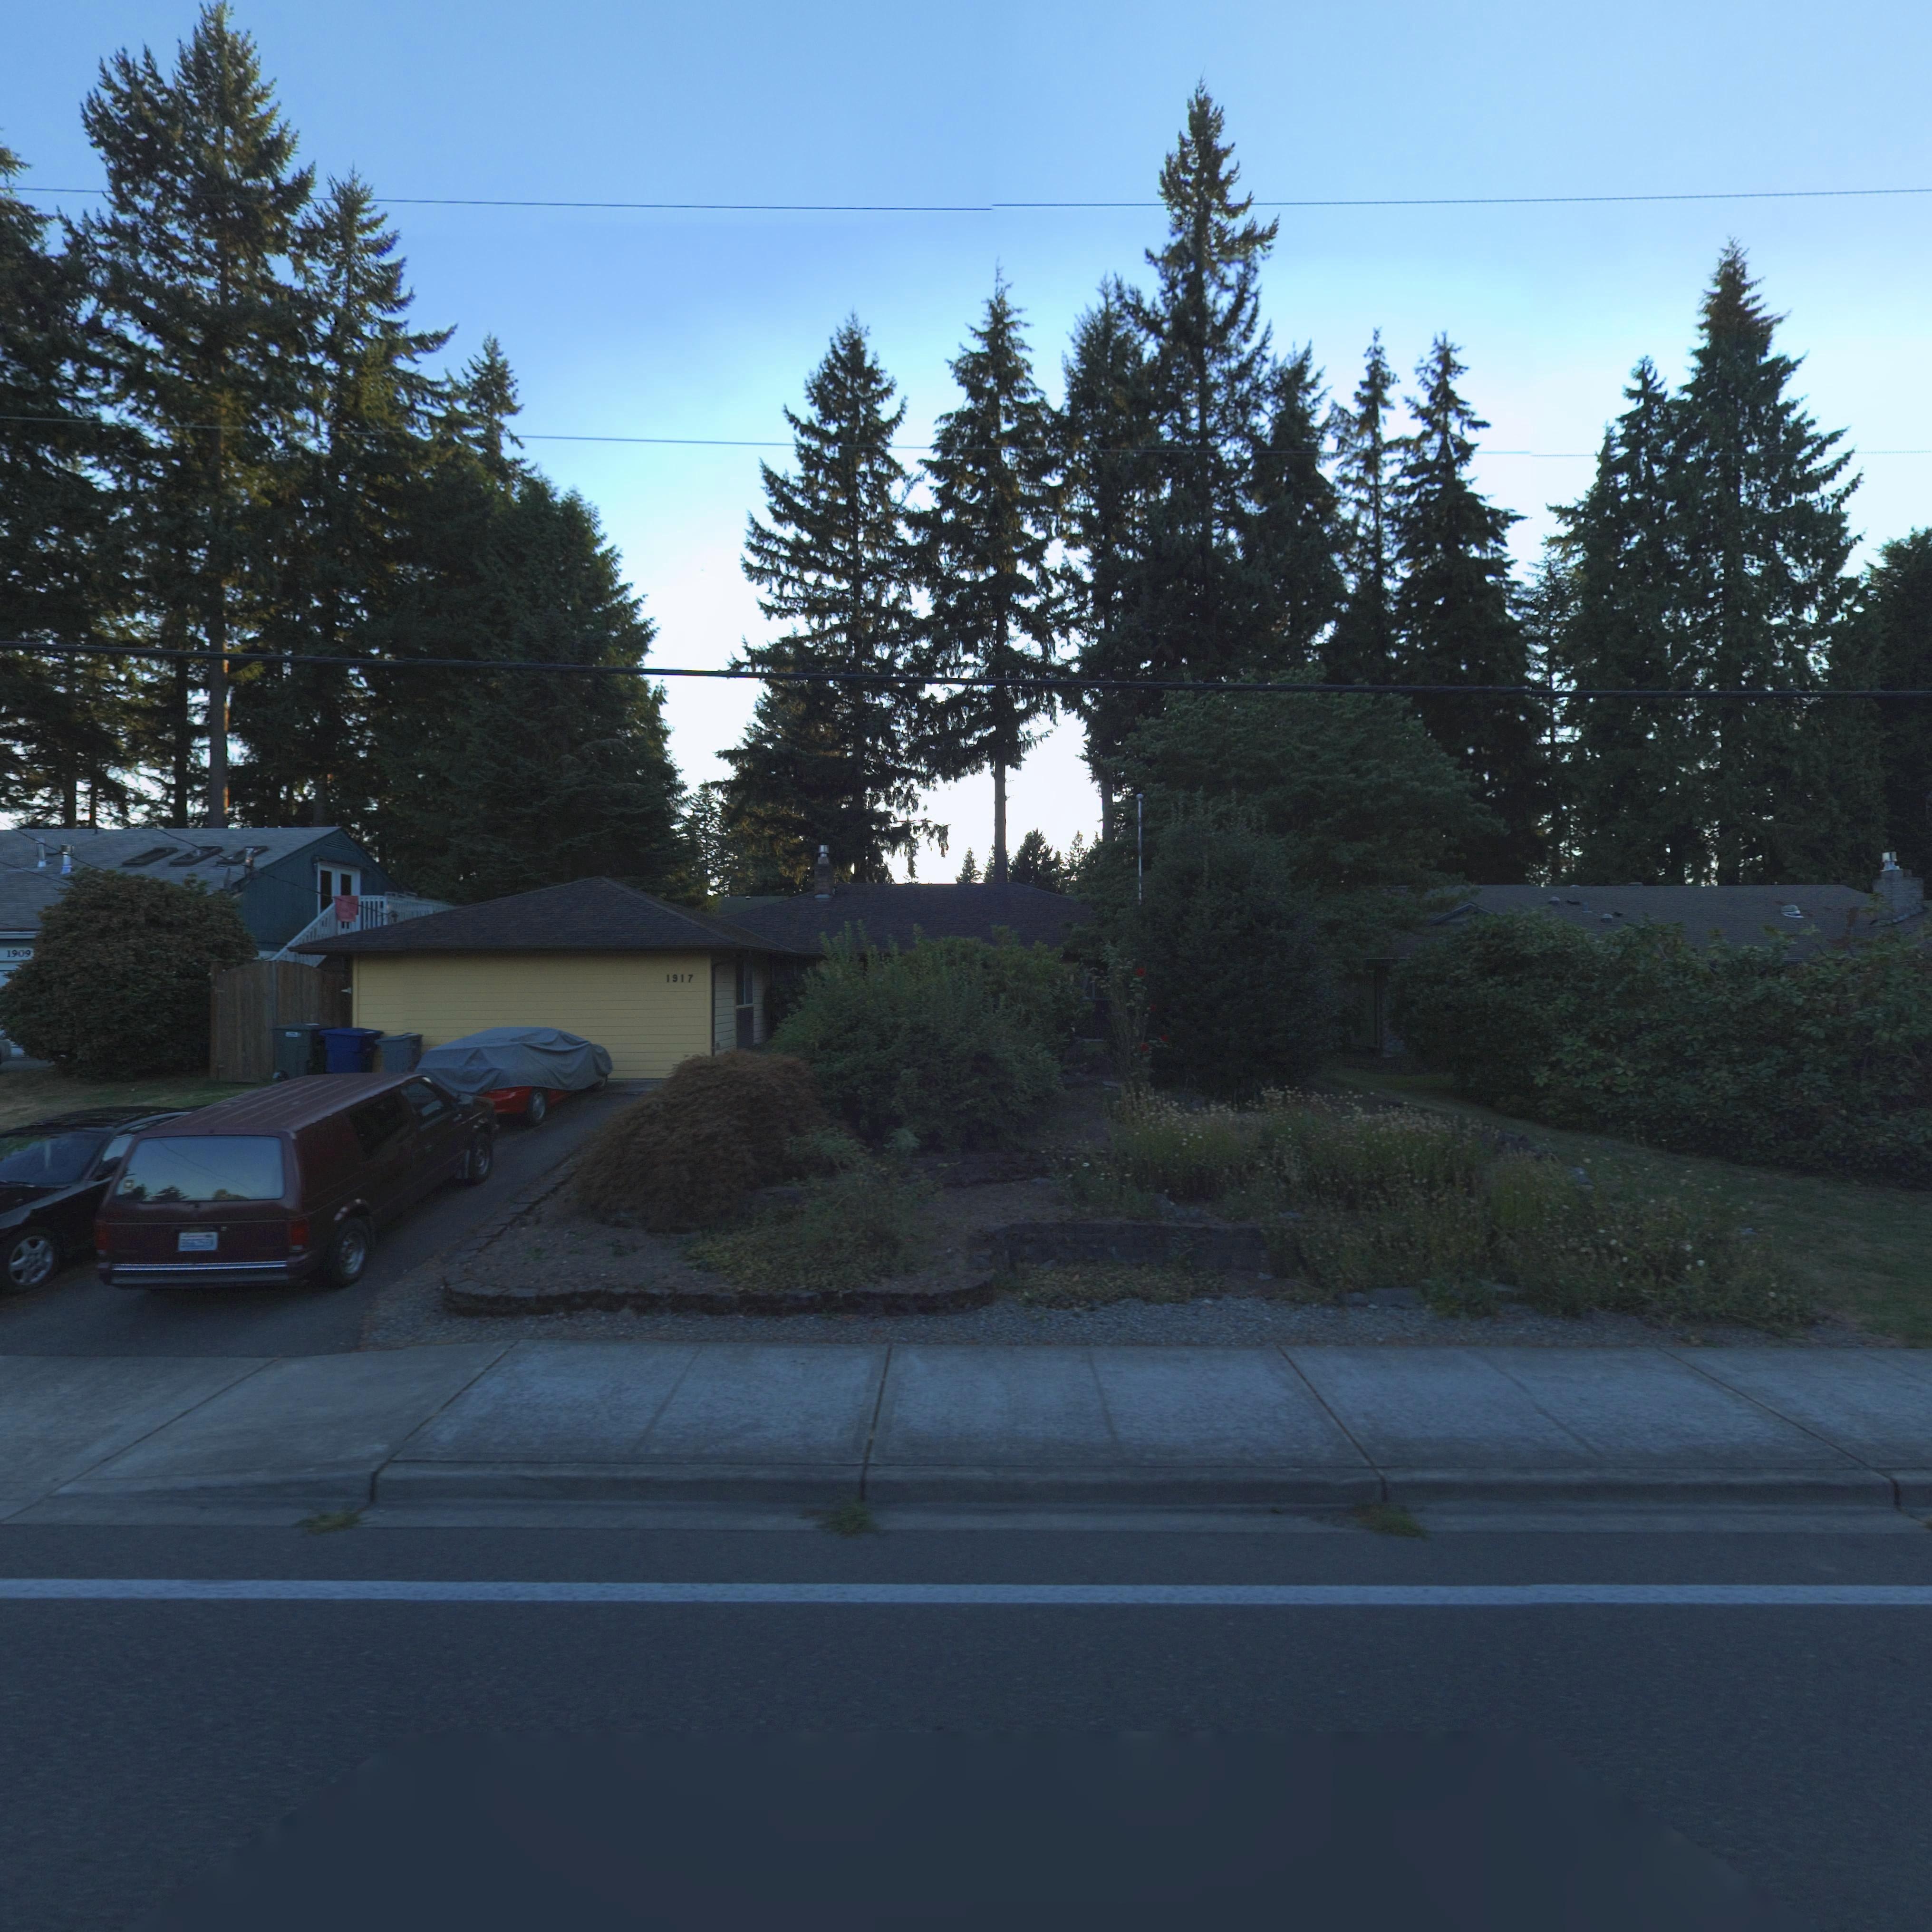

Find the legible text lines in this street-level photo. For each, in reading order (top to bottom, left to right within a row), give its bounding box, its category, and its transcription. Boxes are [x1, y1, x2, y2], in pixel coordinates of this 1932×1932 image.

[7, 949, 30, 957] StreetNumber: 1909
[667, 974, 693, 983] StreetNumber: 1917